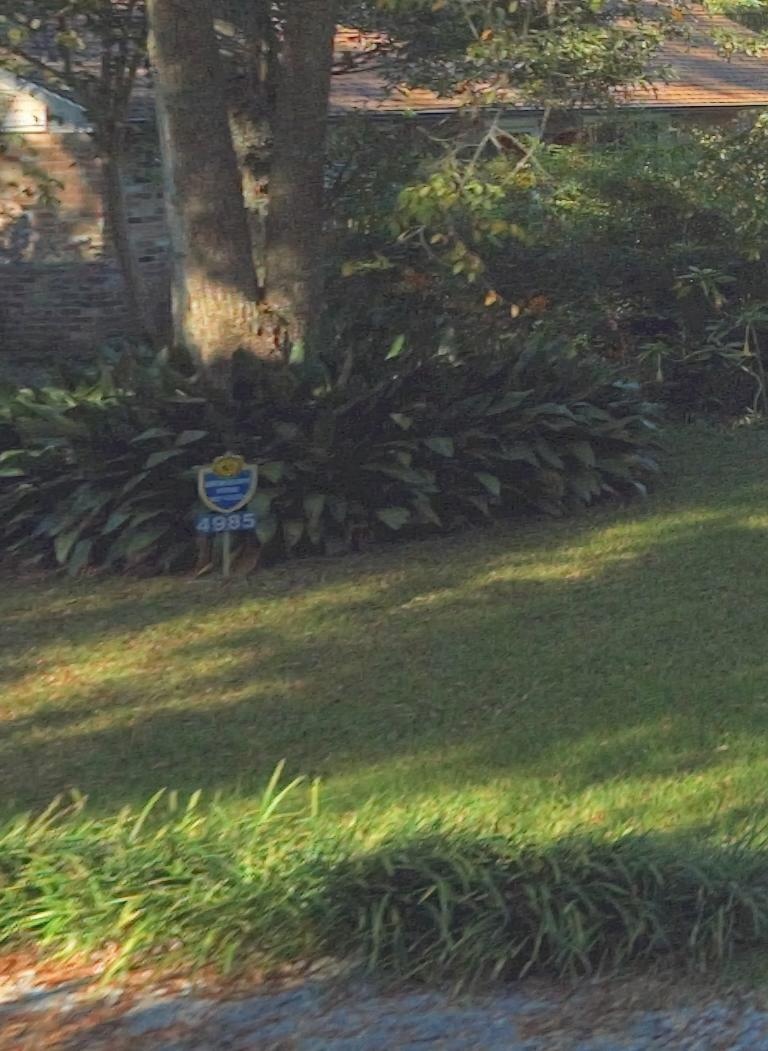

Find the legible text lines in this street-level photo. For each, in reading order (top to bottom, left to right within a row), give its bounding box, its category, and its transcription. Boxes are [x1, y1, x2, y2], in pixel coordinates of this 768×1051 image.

[192, 510, 258, 534] StreetNumber: 4985